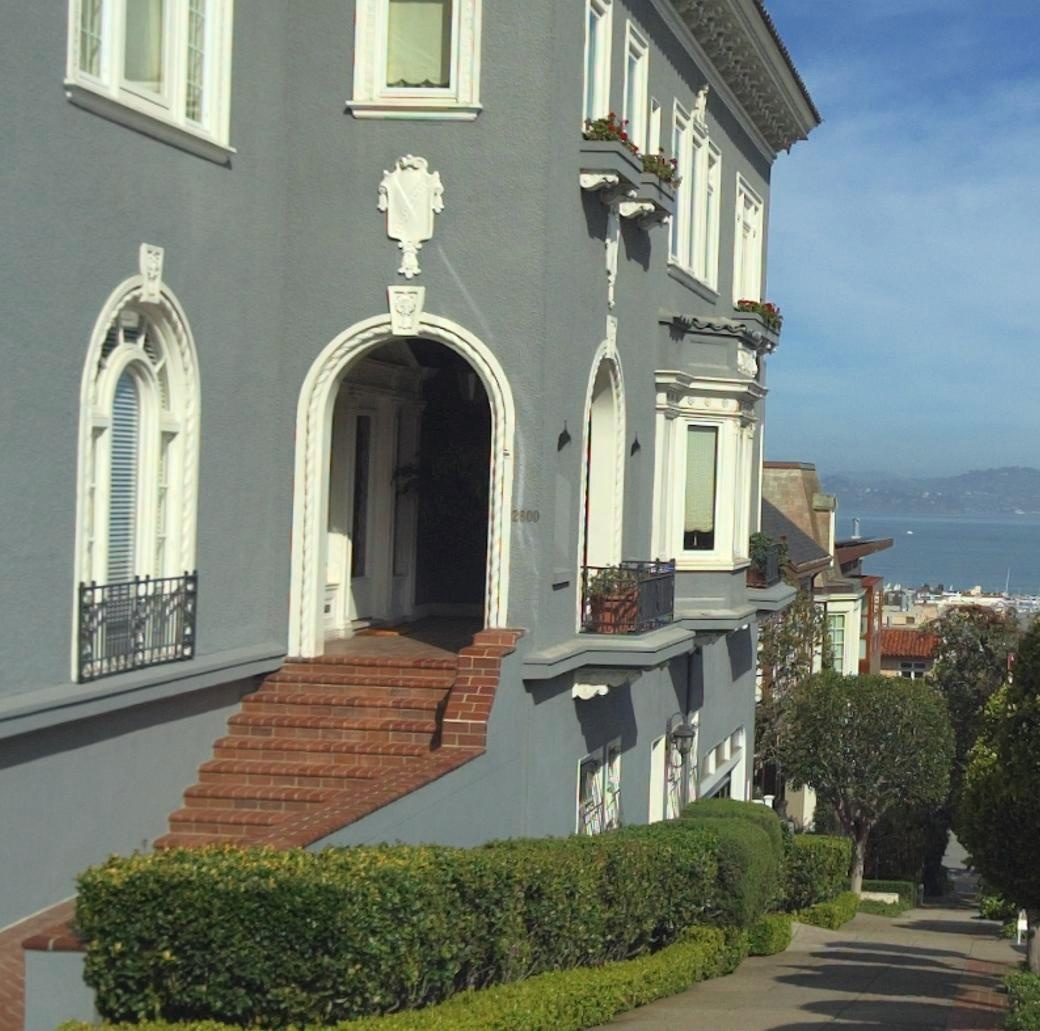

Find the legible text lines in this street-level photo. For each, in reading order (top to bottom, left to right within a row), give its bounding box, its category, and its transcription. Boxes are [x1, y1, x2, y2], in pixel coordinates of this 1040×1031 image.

[510, 508, 542, 525] StreetNumber: 2800